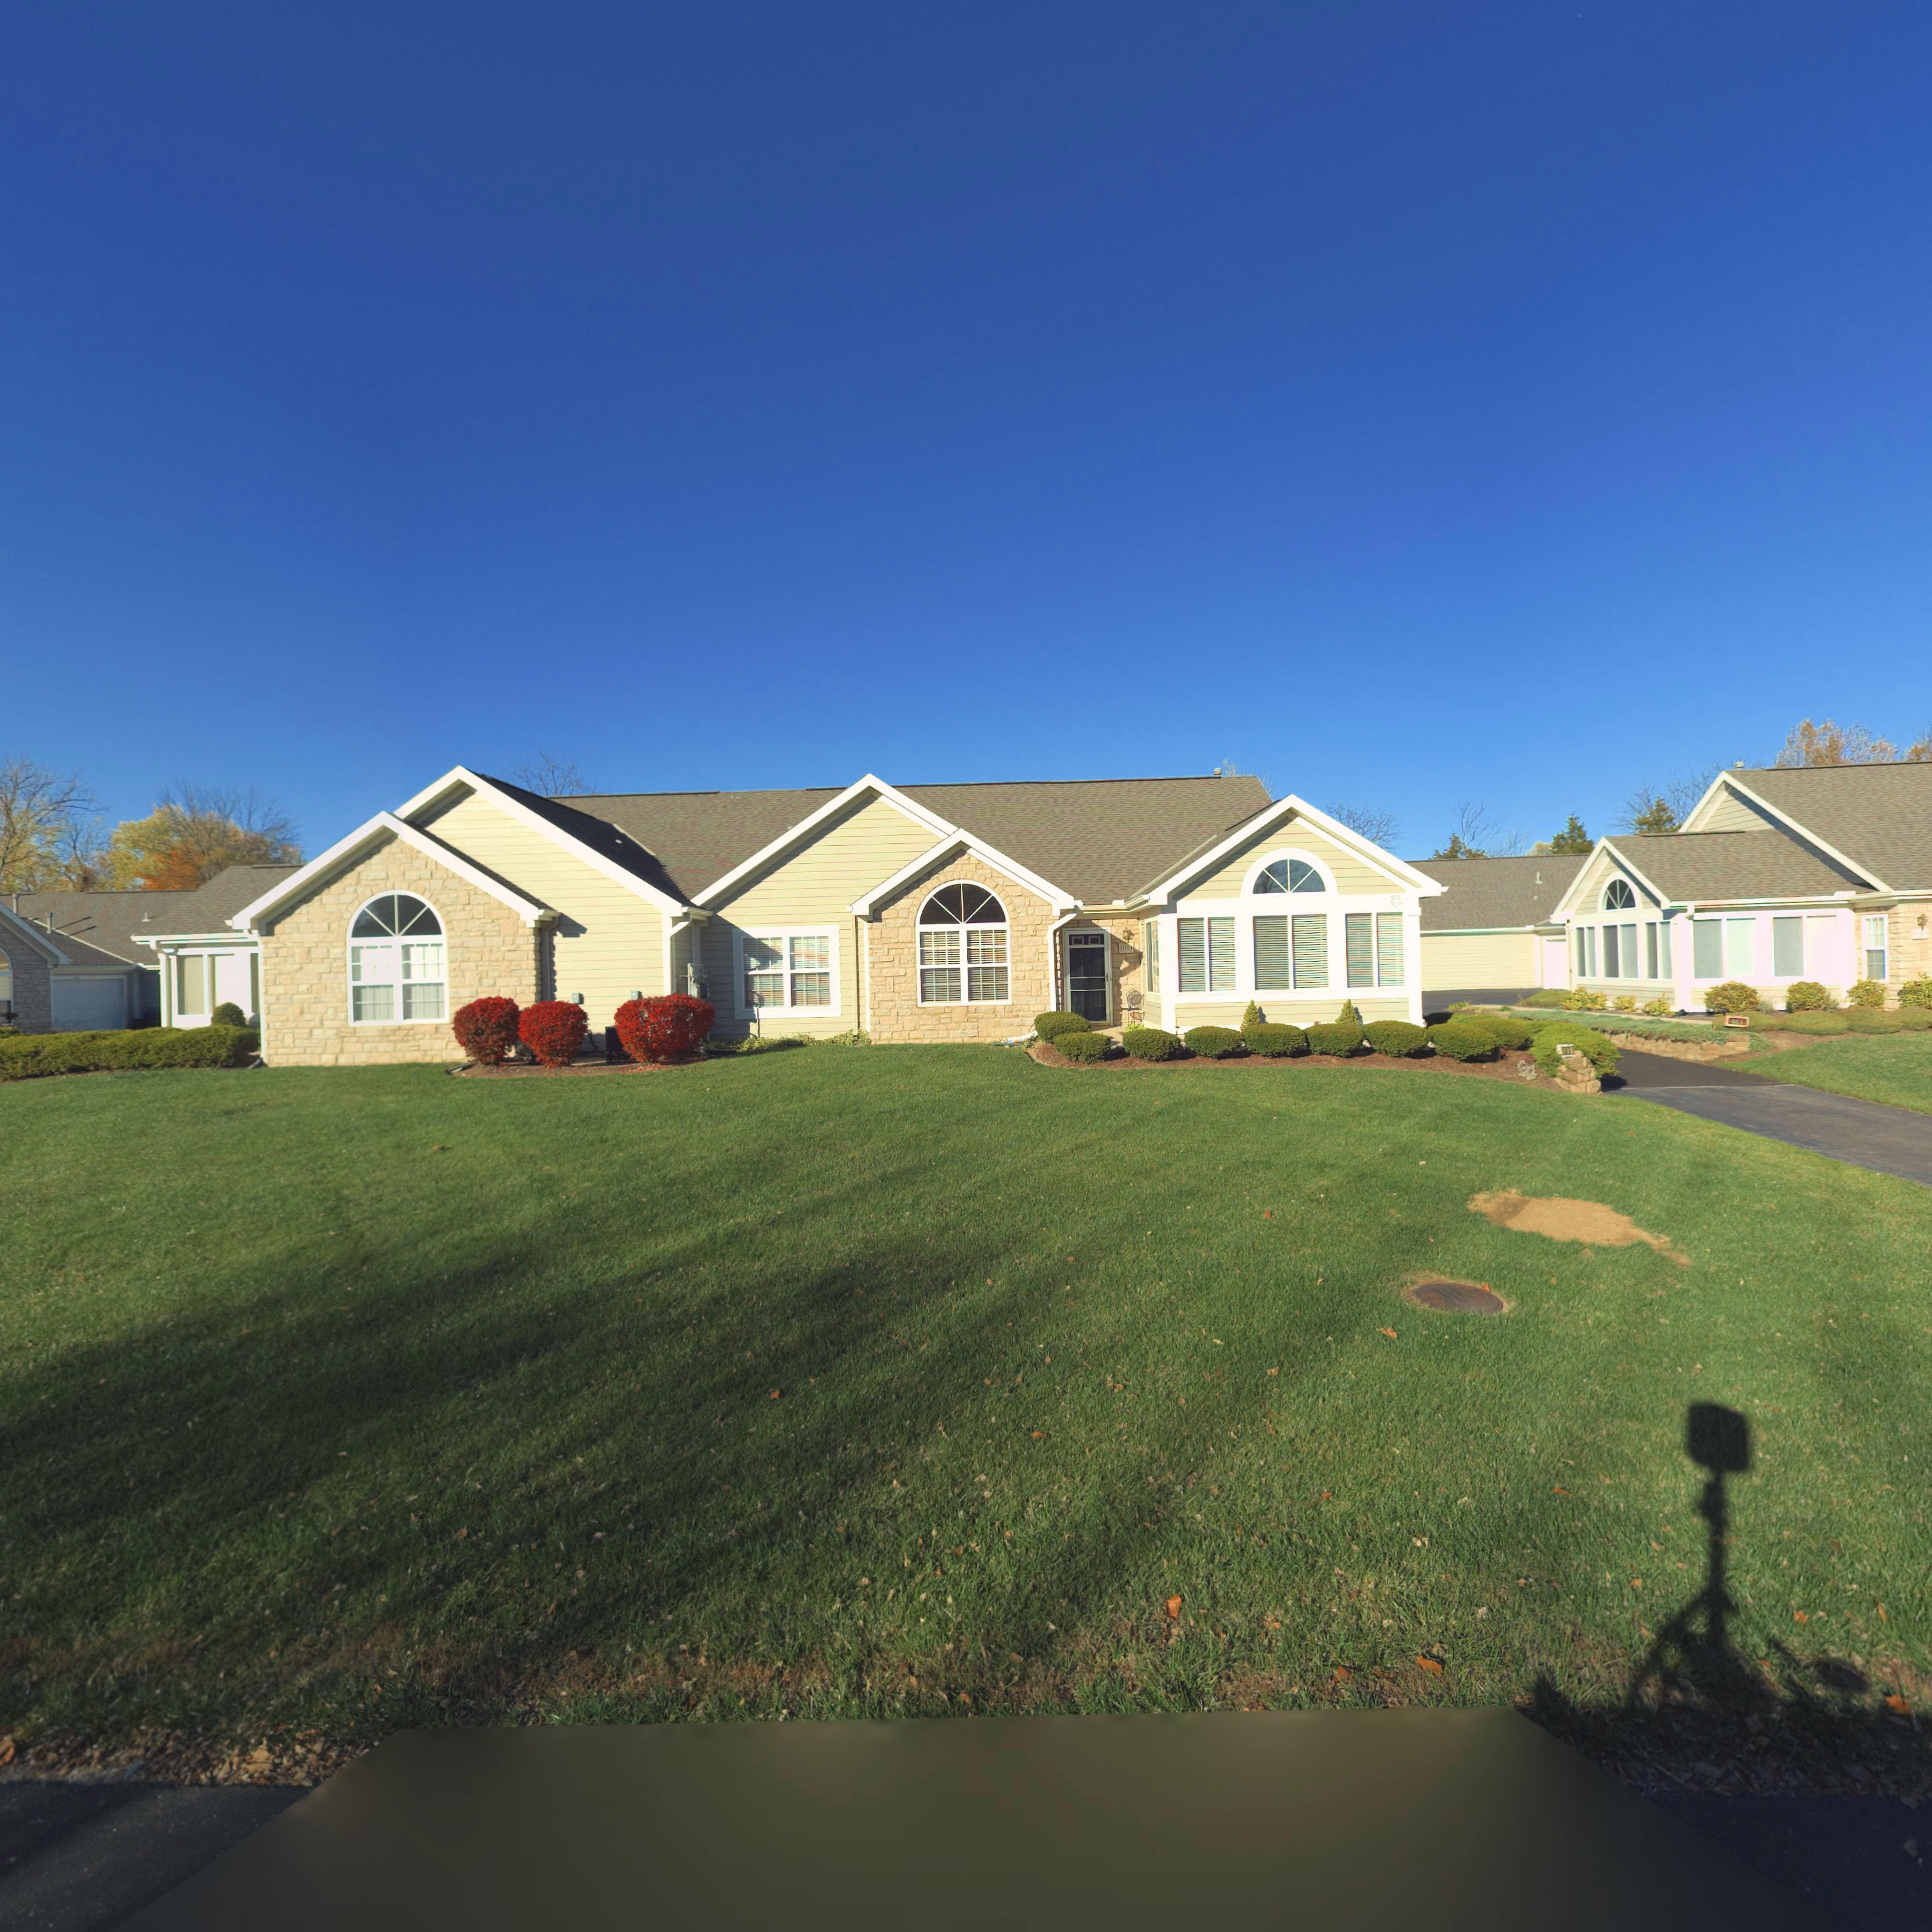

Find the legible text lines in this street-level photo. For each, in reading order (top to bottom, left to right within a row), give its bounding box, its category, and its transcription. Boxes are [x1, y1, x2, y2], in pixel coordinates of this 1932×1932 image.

[1119, 944, 1133, 952] StreetNumber: 5051